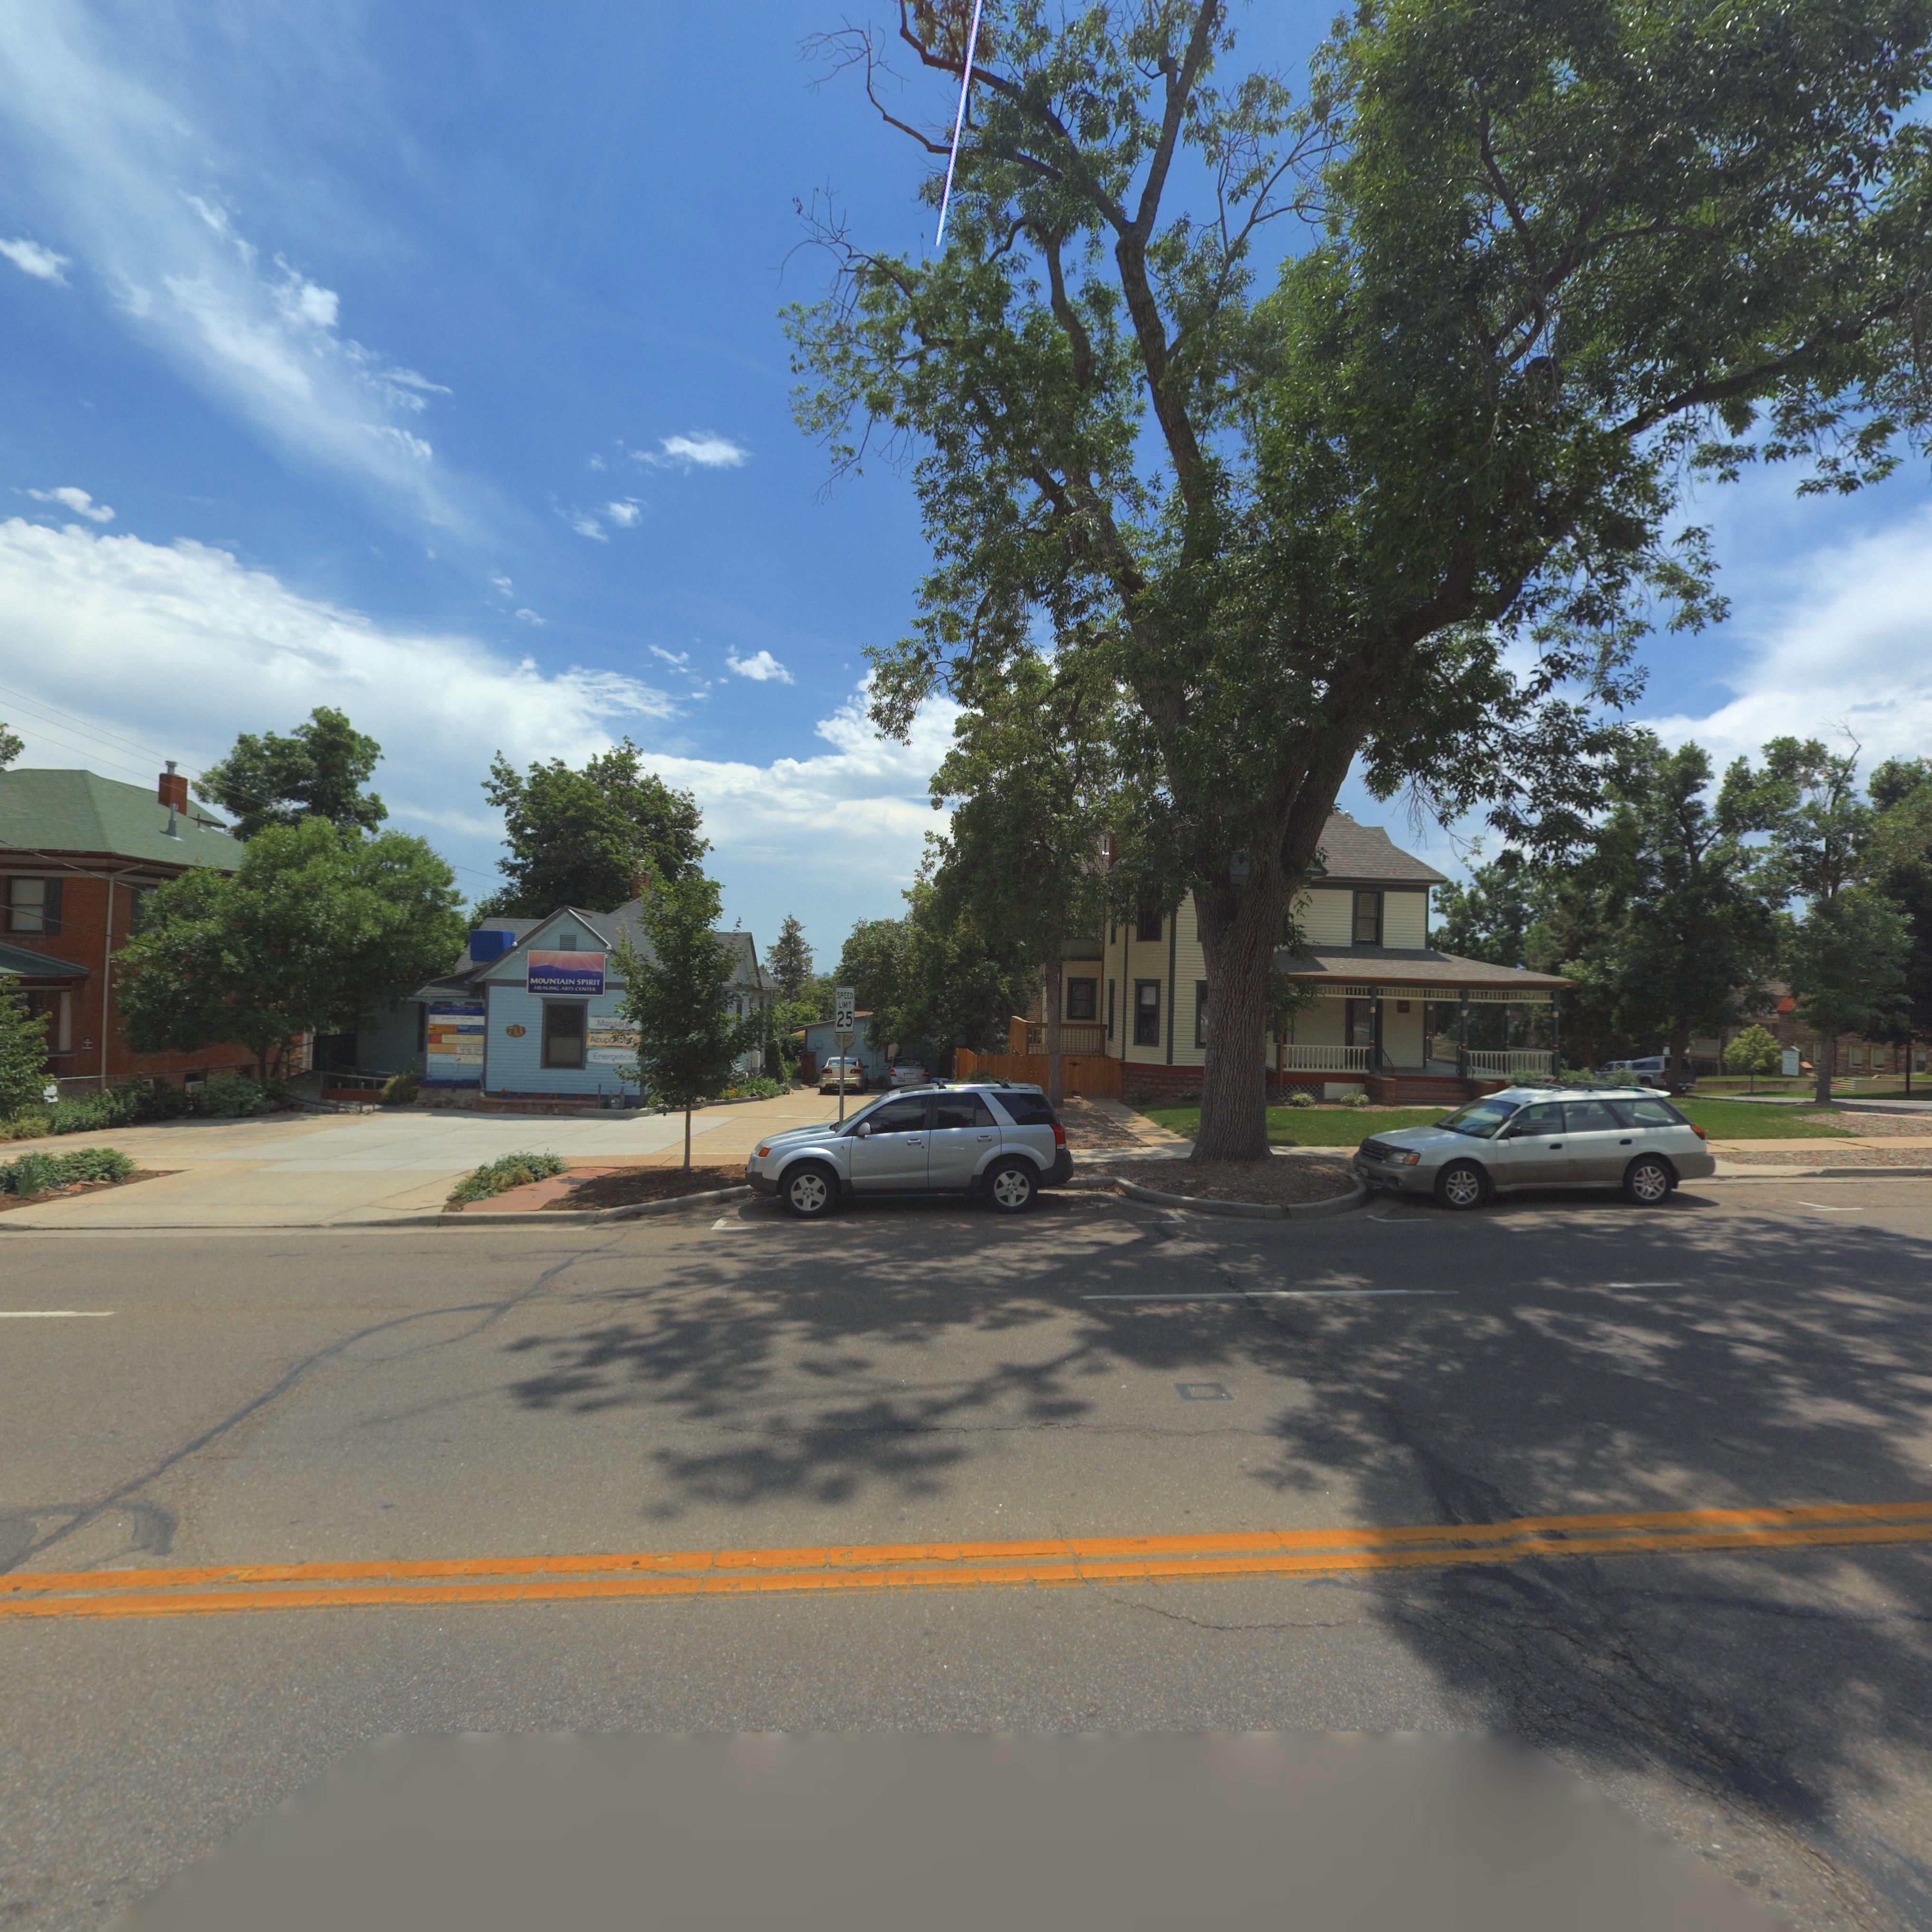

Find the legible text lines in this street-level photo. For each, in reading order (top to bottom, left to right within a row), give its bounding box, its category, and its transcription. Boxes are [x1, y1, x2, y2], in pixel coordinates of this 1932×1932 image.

[530, 978, 601, 985] BusinessName: MOUNTAIN SPIRIT
[534, 985, 596, 992] BusinessName: HEALING ARTS CENTER
[441, 1015, 457, 1021] BusinessName: S*****
[508, 1026, 523, 1035] StreetNumber: 713